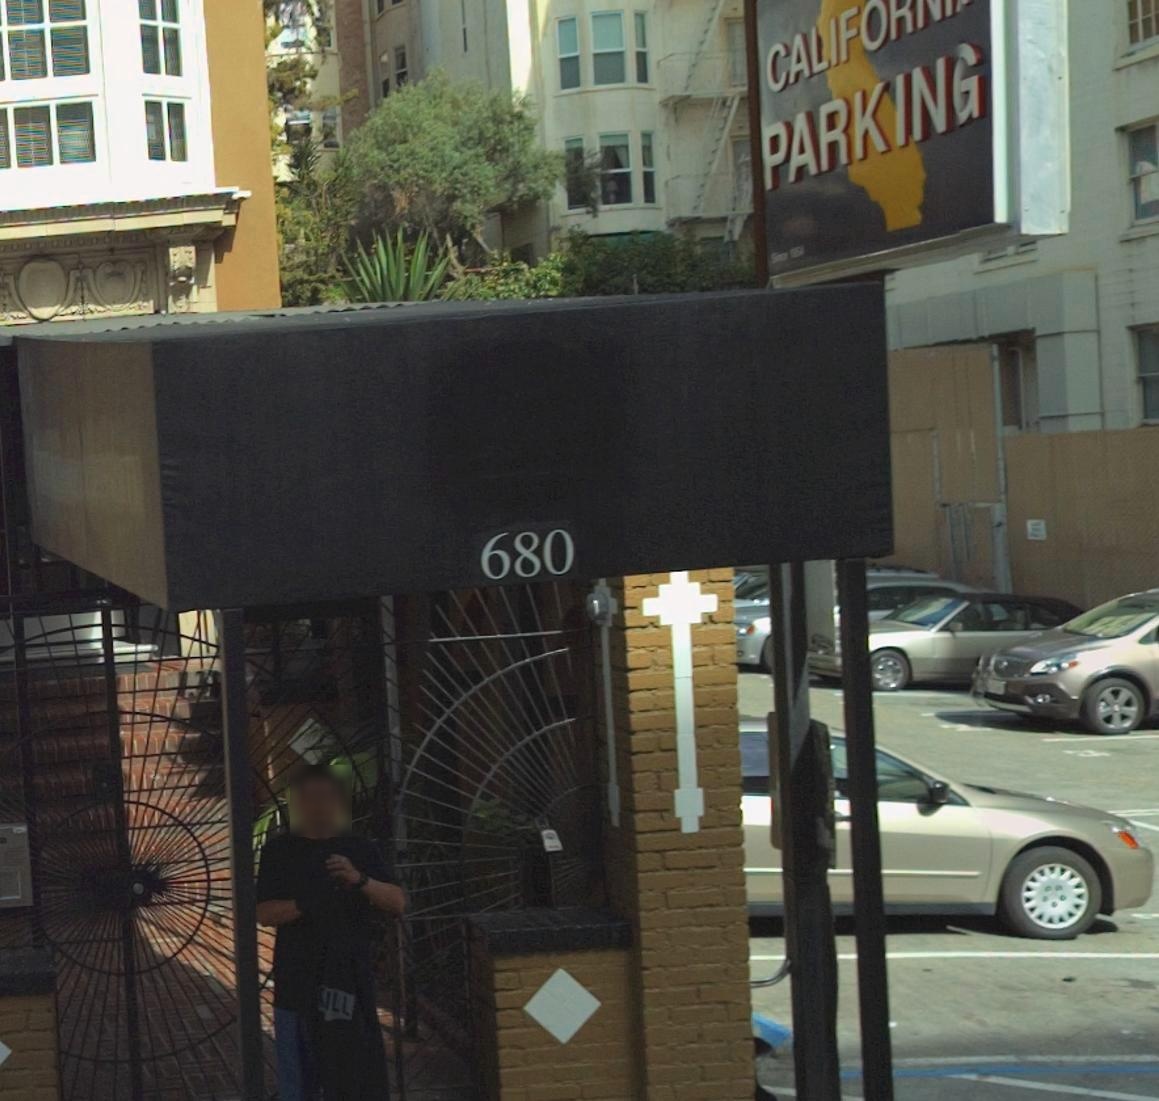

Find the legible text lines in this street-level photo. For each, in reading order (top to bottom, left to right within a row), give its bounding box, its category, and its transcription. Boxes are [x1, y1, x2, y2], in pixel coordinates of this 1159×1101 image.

[761, 2, 866, 104] BusinessName: CALIF
[758, 48, 957, 200] BusinessName: PARKIN
[472, 523, 583, 587] StreetNumber: 680
[325, 988, 359, 1023] None: LL